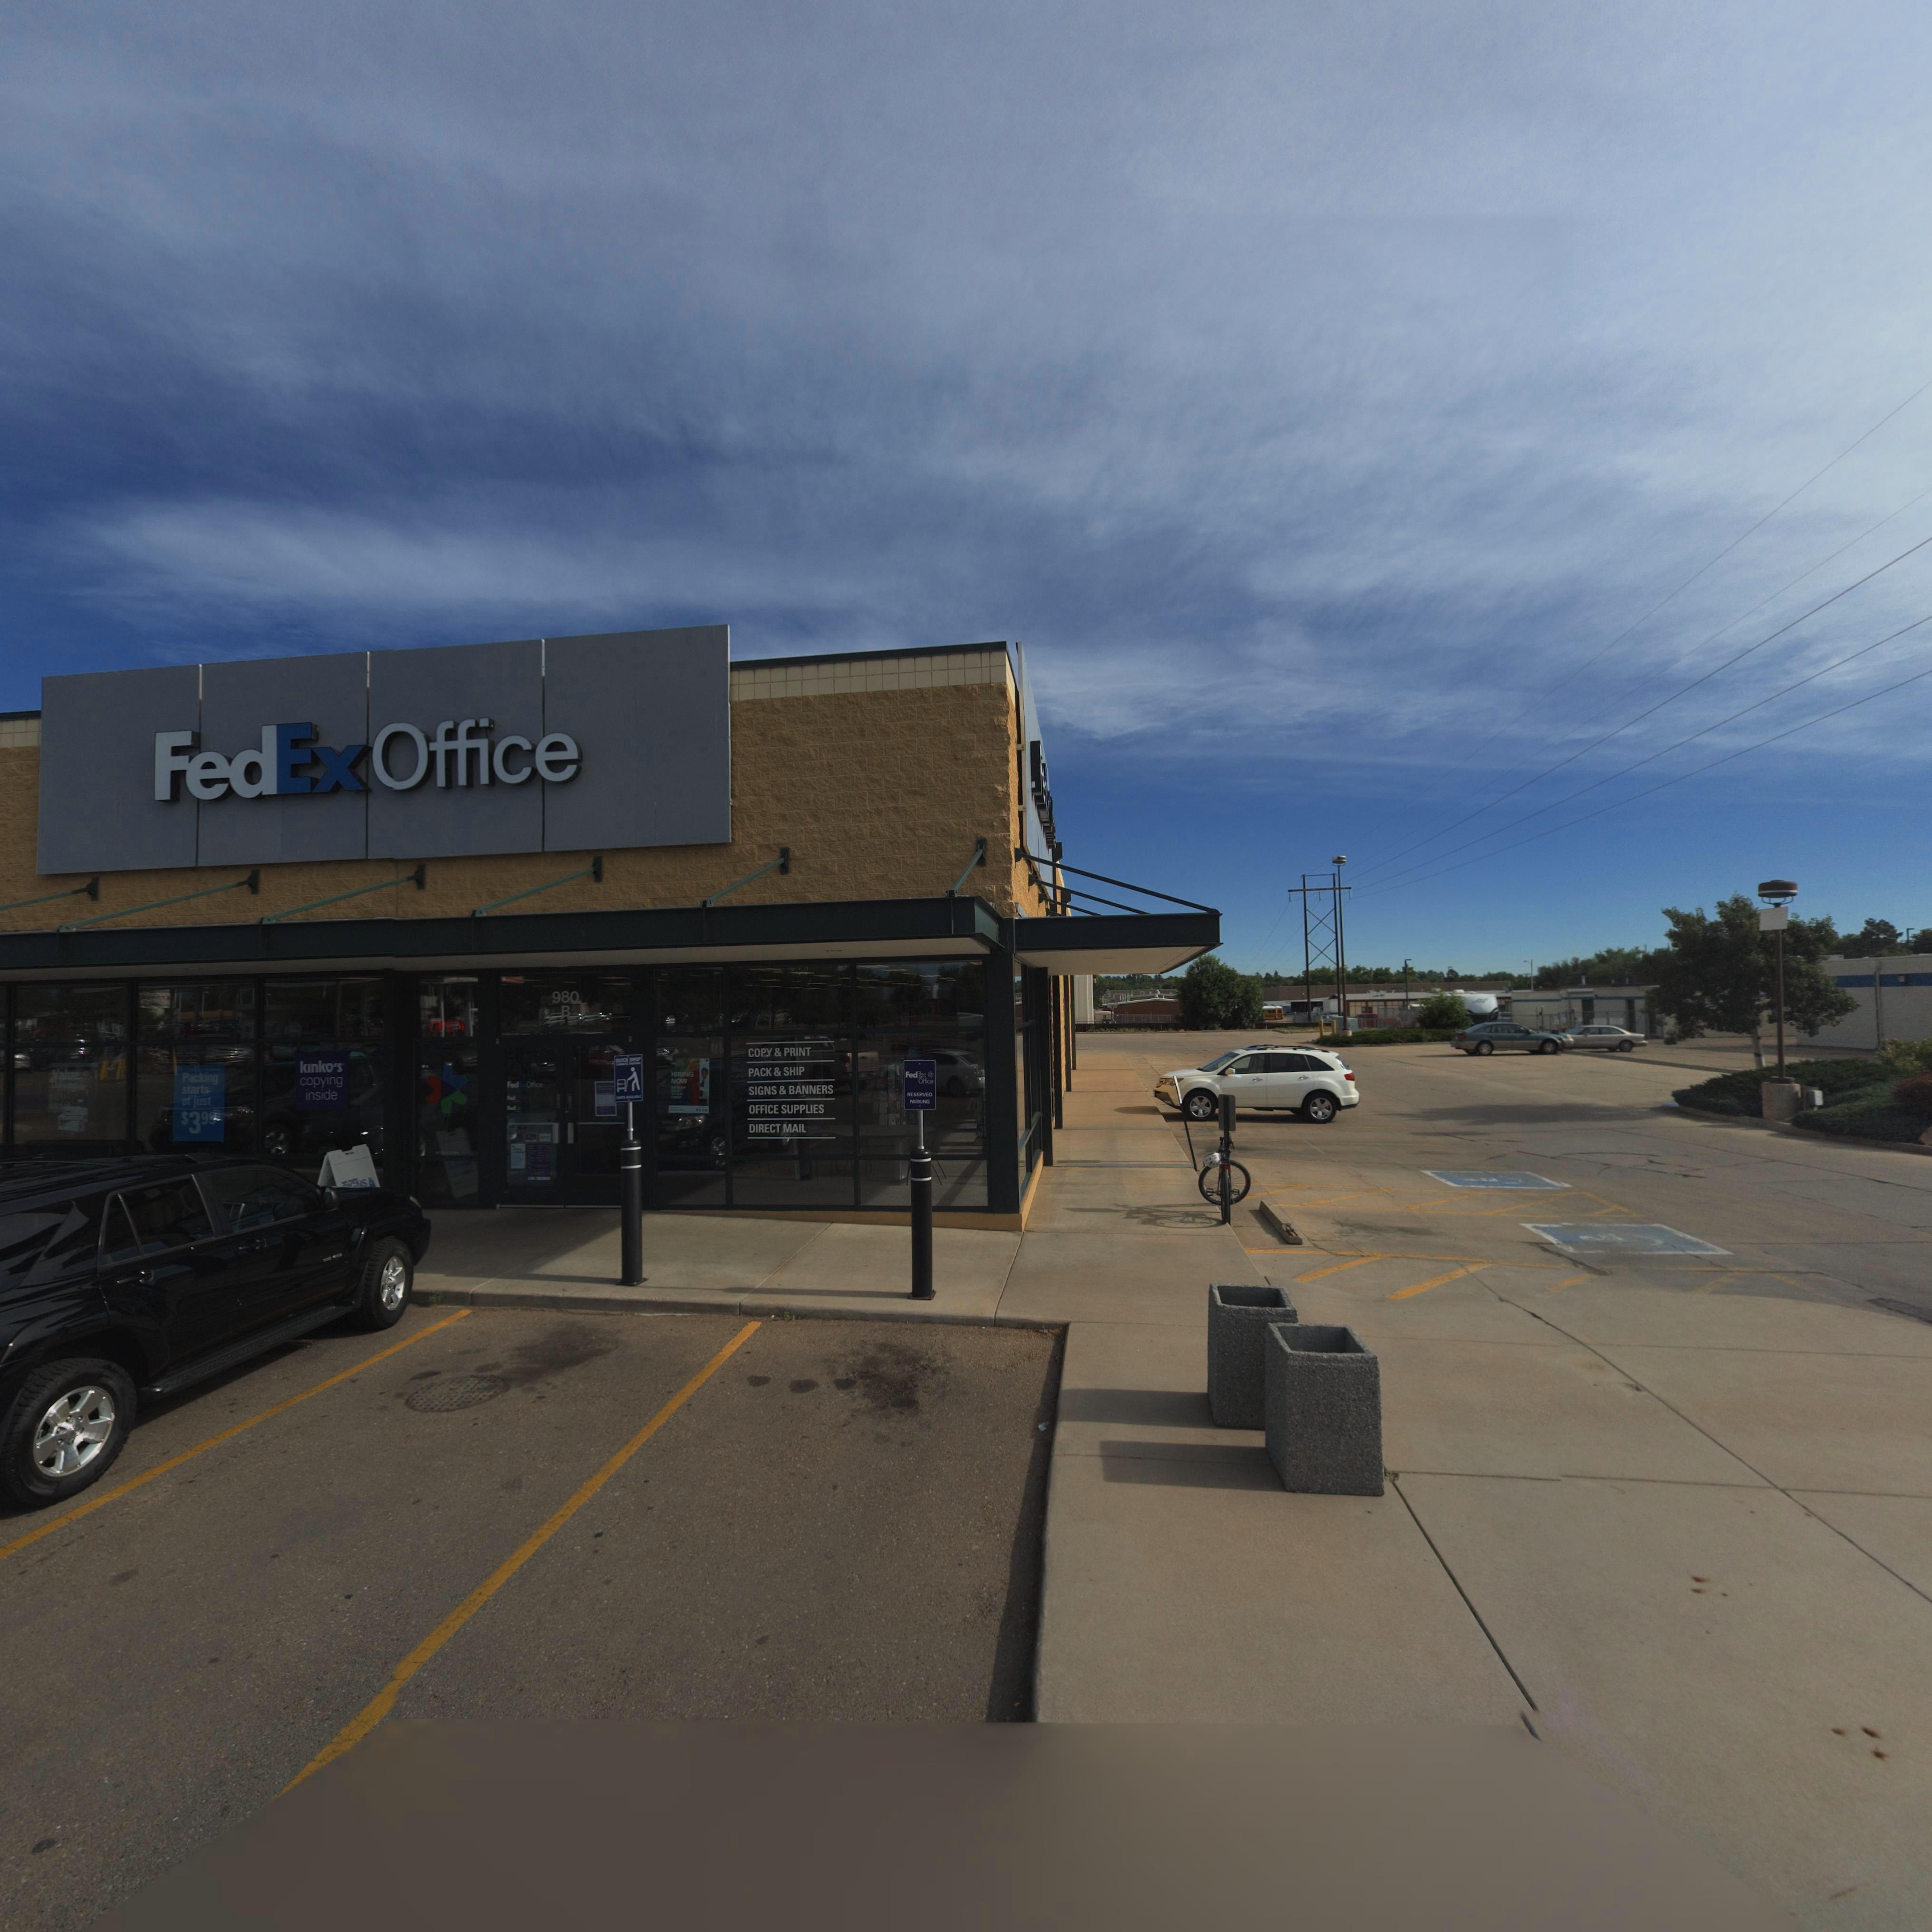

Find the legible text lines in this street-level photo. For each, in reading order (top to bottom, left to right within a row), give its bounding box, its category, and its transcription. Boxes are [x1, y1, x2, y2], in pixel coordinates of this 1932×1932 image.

[152, 715, 580, 802] BusinessName: FedEx Office
[551, 990, 580, 1003] StreetNumber: 980
[561, 1005, 570, 1017] StreetNumber: B
[299, 1059, 343, 1073] BusinessName: kinko*s
[506, 1081, 543, 1088] BusinessName: FedEx Office
[918, 1078, 933, 1084] BusinessName: Office
[506, 1095, 521, 1101] BusinessName: Fed**
[506, 1104, 521, 1110] BusinessName: Fed**